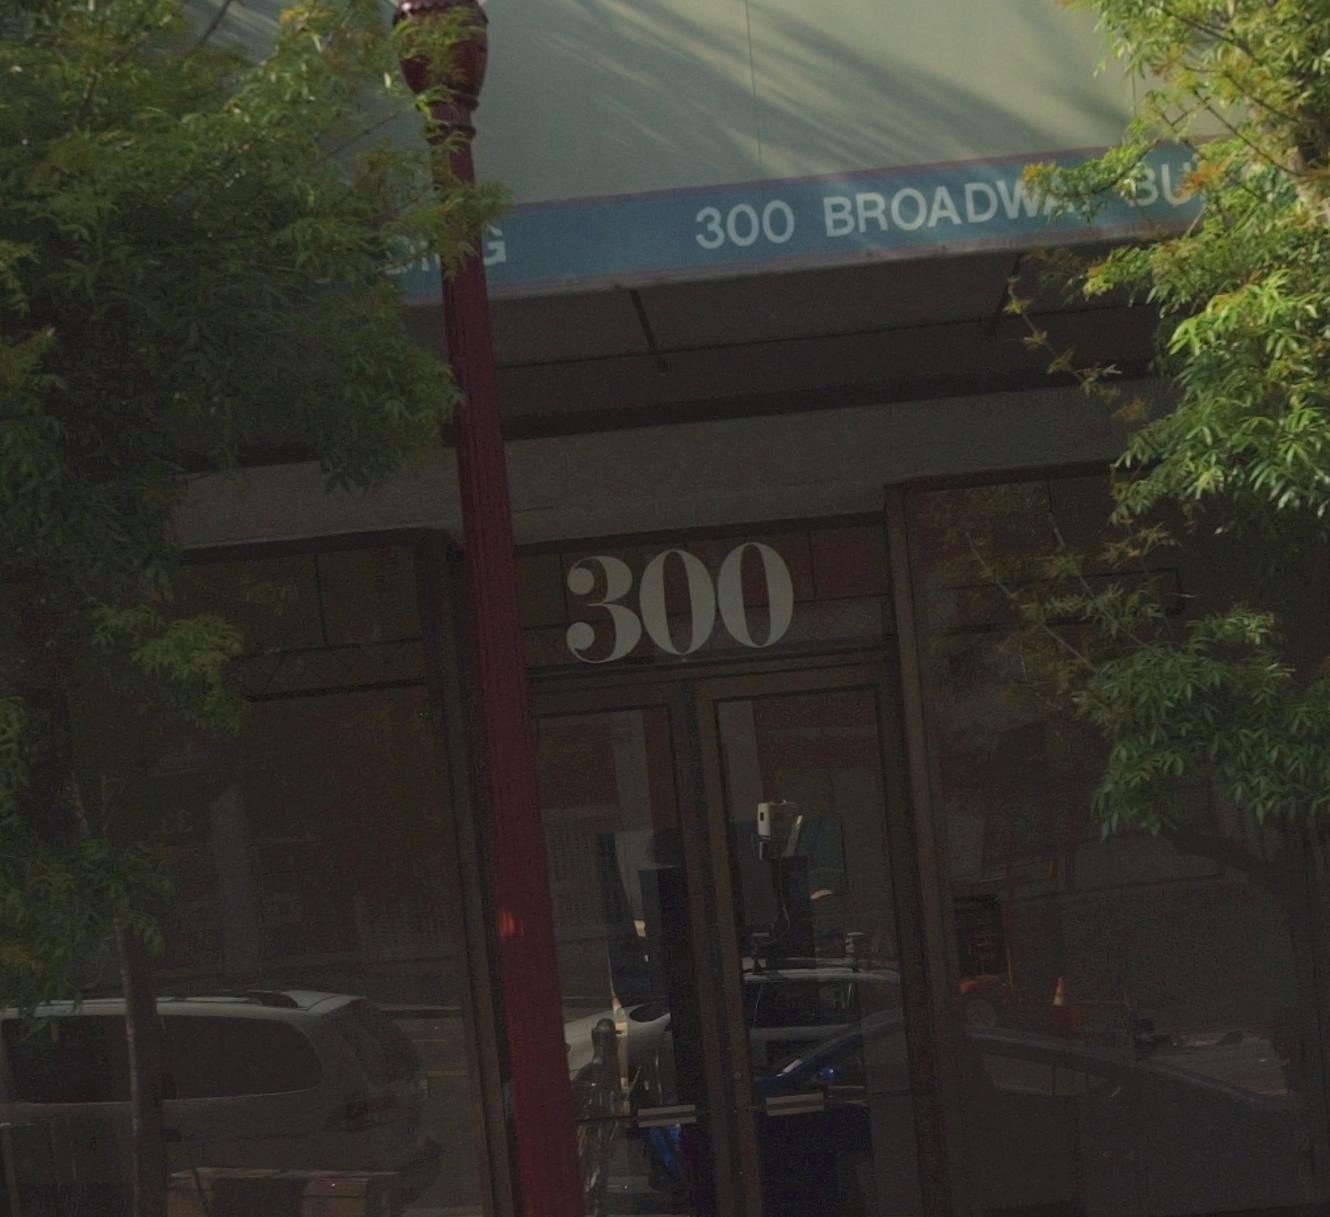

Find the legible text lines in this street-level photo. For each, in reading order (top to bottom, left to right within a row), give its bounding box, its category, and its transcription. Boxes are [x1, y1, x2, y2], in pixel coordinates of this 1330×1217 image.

[691, 194, 799, 253] StreetNumber: 300 BROADW
[820, 168, 1048, 242] StreetName: BROADW
[558, 536, 802, 671] StreetNumber: 300